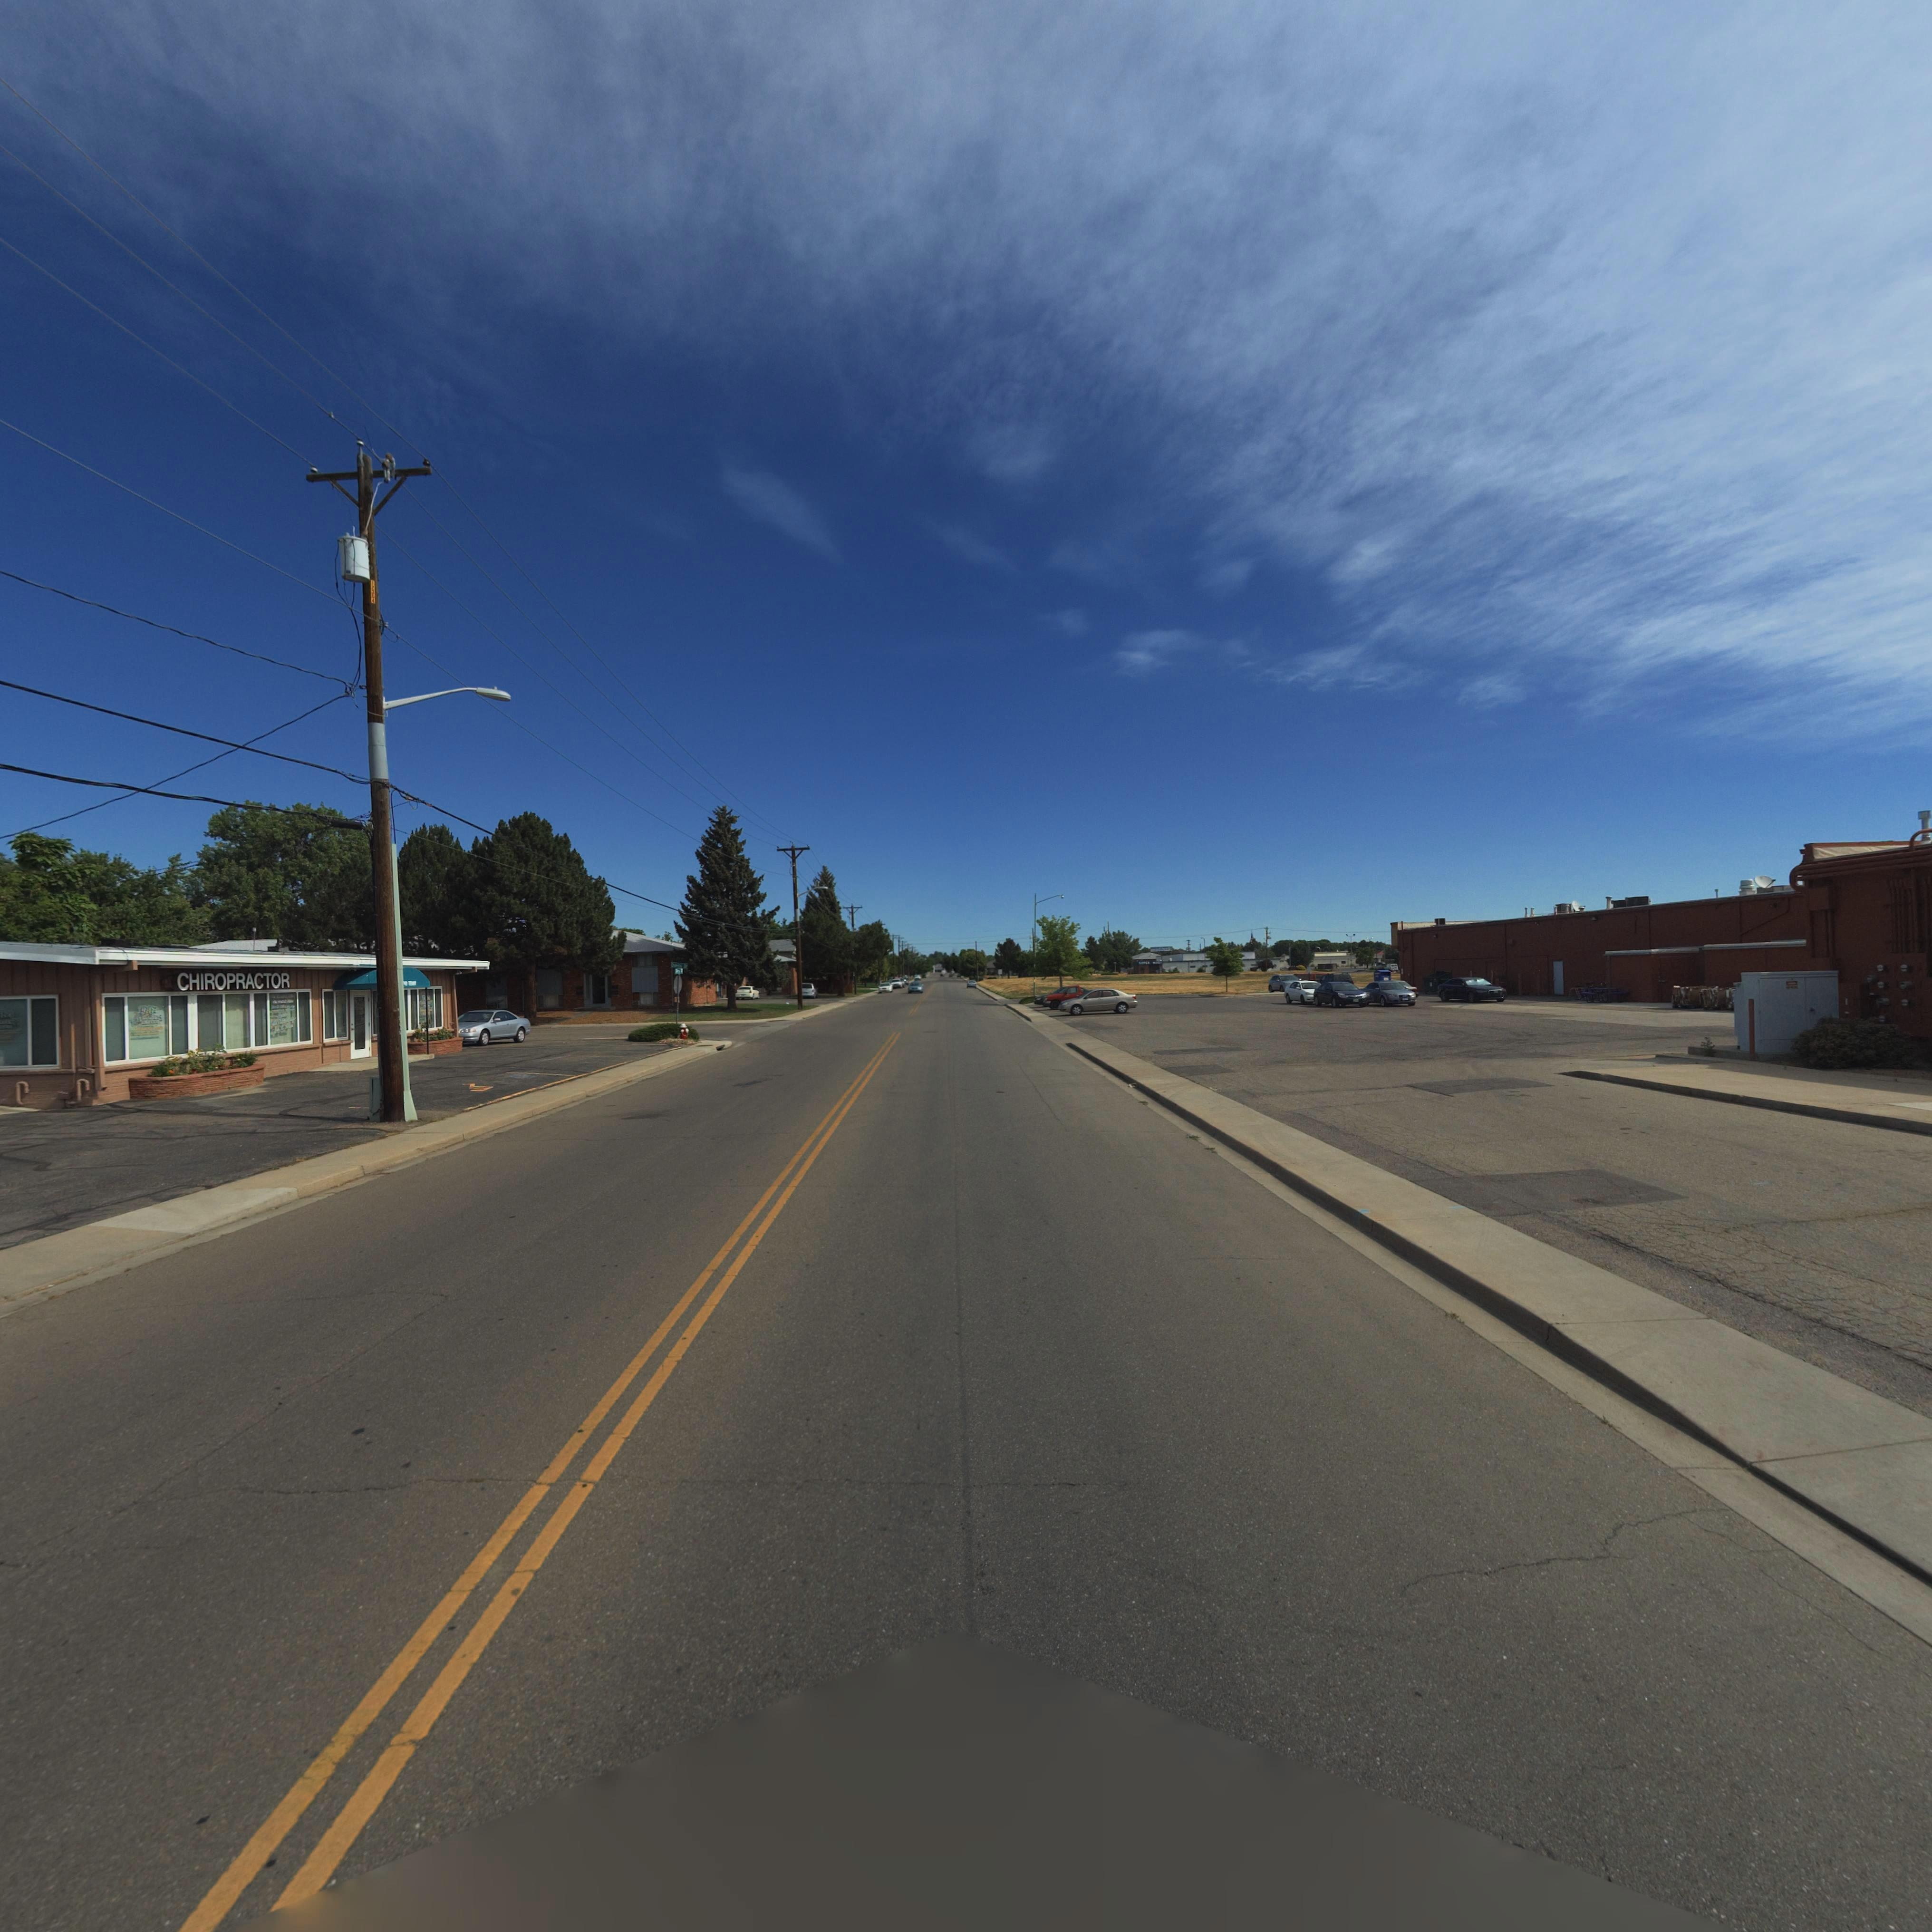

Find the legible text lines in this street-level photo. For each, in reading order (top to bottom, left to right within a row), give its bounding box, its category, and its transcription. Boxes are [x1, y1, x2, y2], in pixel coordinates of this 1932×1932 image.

[1138, 961, 1162, 964] BusinessName: ***** WAS*
[670, 963, 687, 968] StreetName: Q****s **
[407, 980, 416, 985] StreetName: *ER*Y
[139, 1005, 157, 1015] BusinessName: ***TZ
[158, 1014, 163, 1022] BusinessName: S